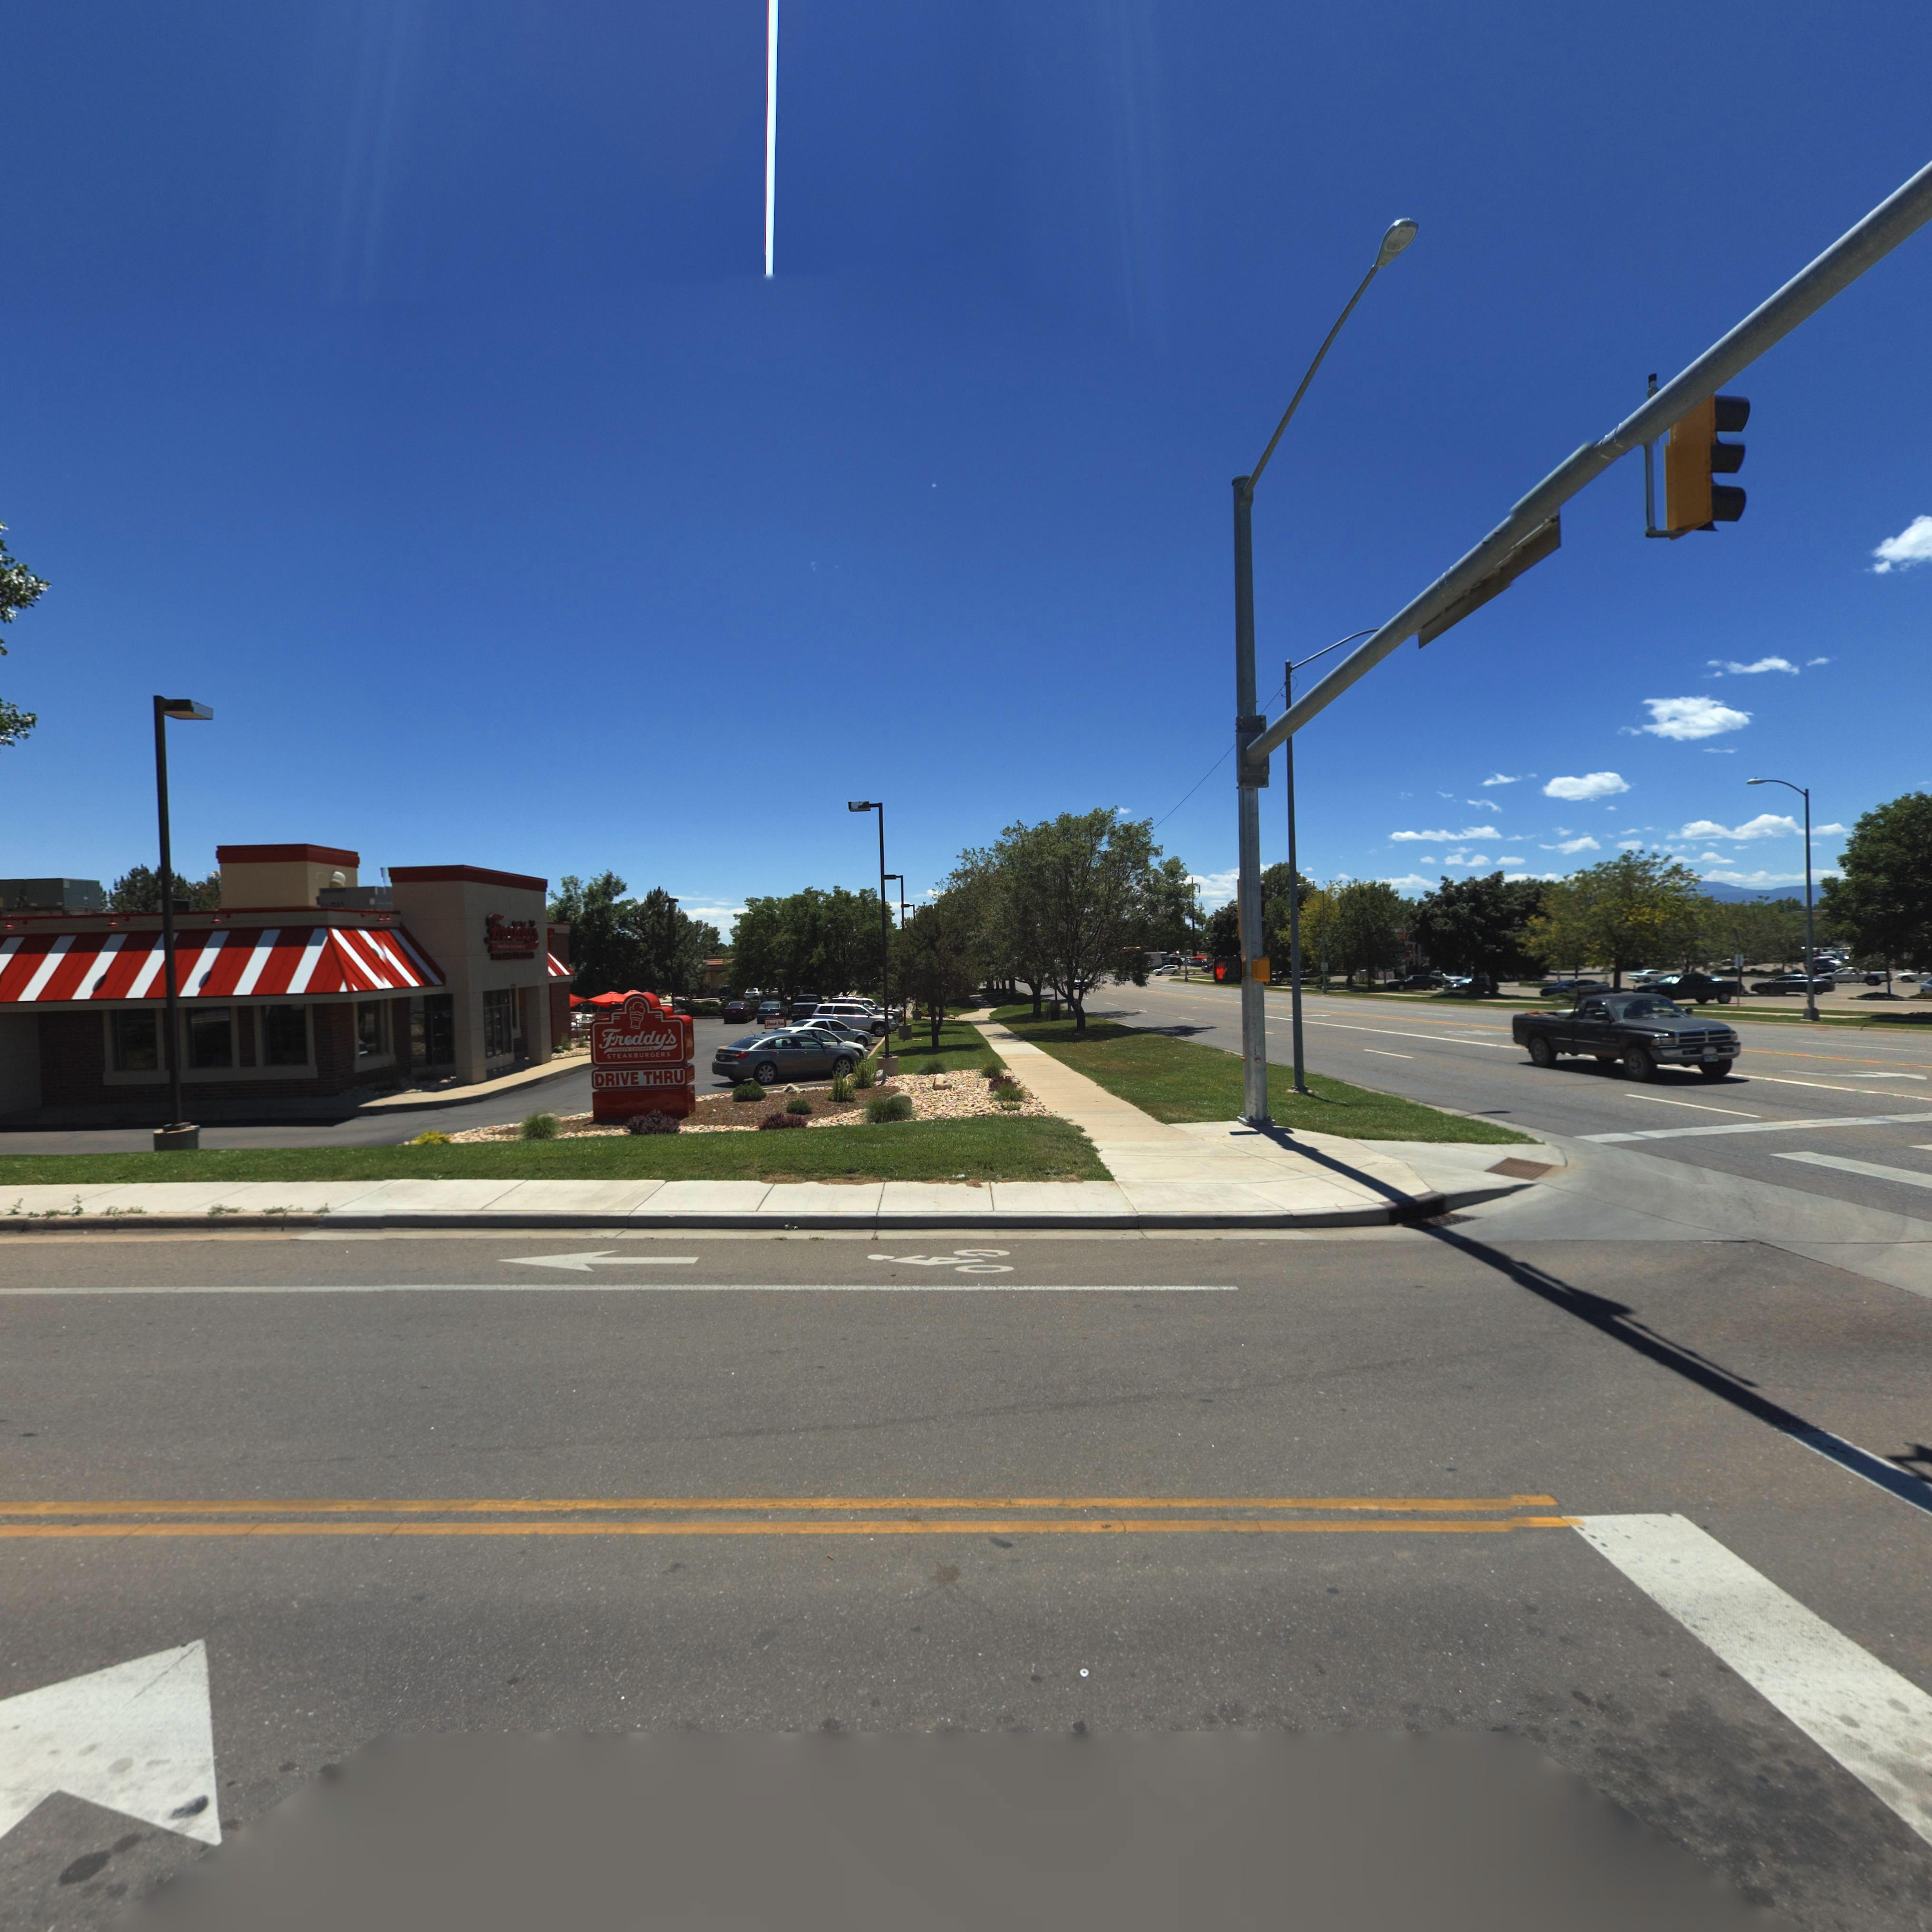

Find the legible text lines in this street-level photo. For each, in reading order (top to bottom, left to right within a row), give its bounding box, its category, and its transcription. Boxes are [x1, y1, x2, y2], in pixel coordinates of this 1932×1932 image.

[486, 913, 538, 949] BusinessName: Freddy*s
[598, 1028, 676, 1050] StreetName: Freddy*s